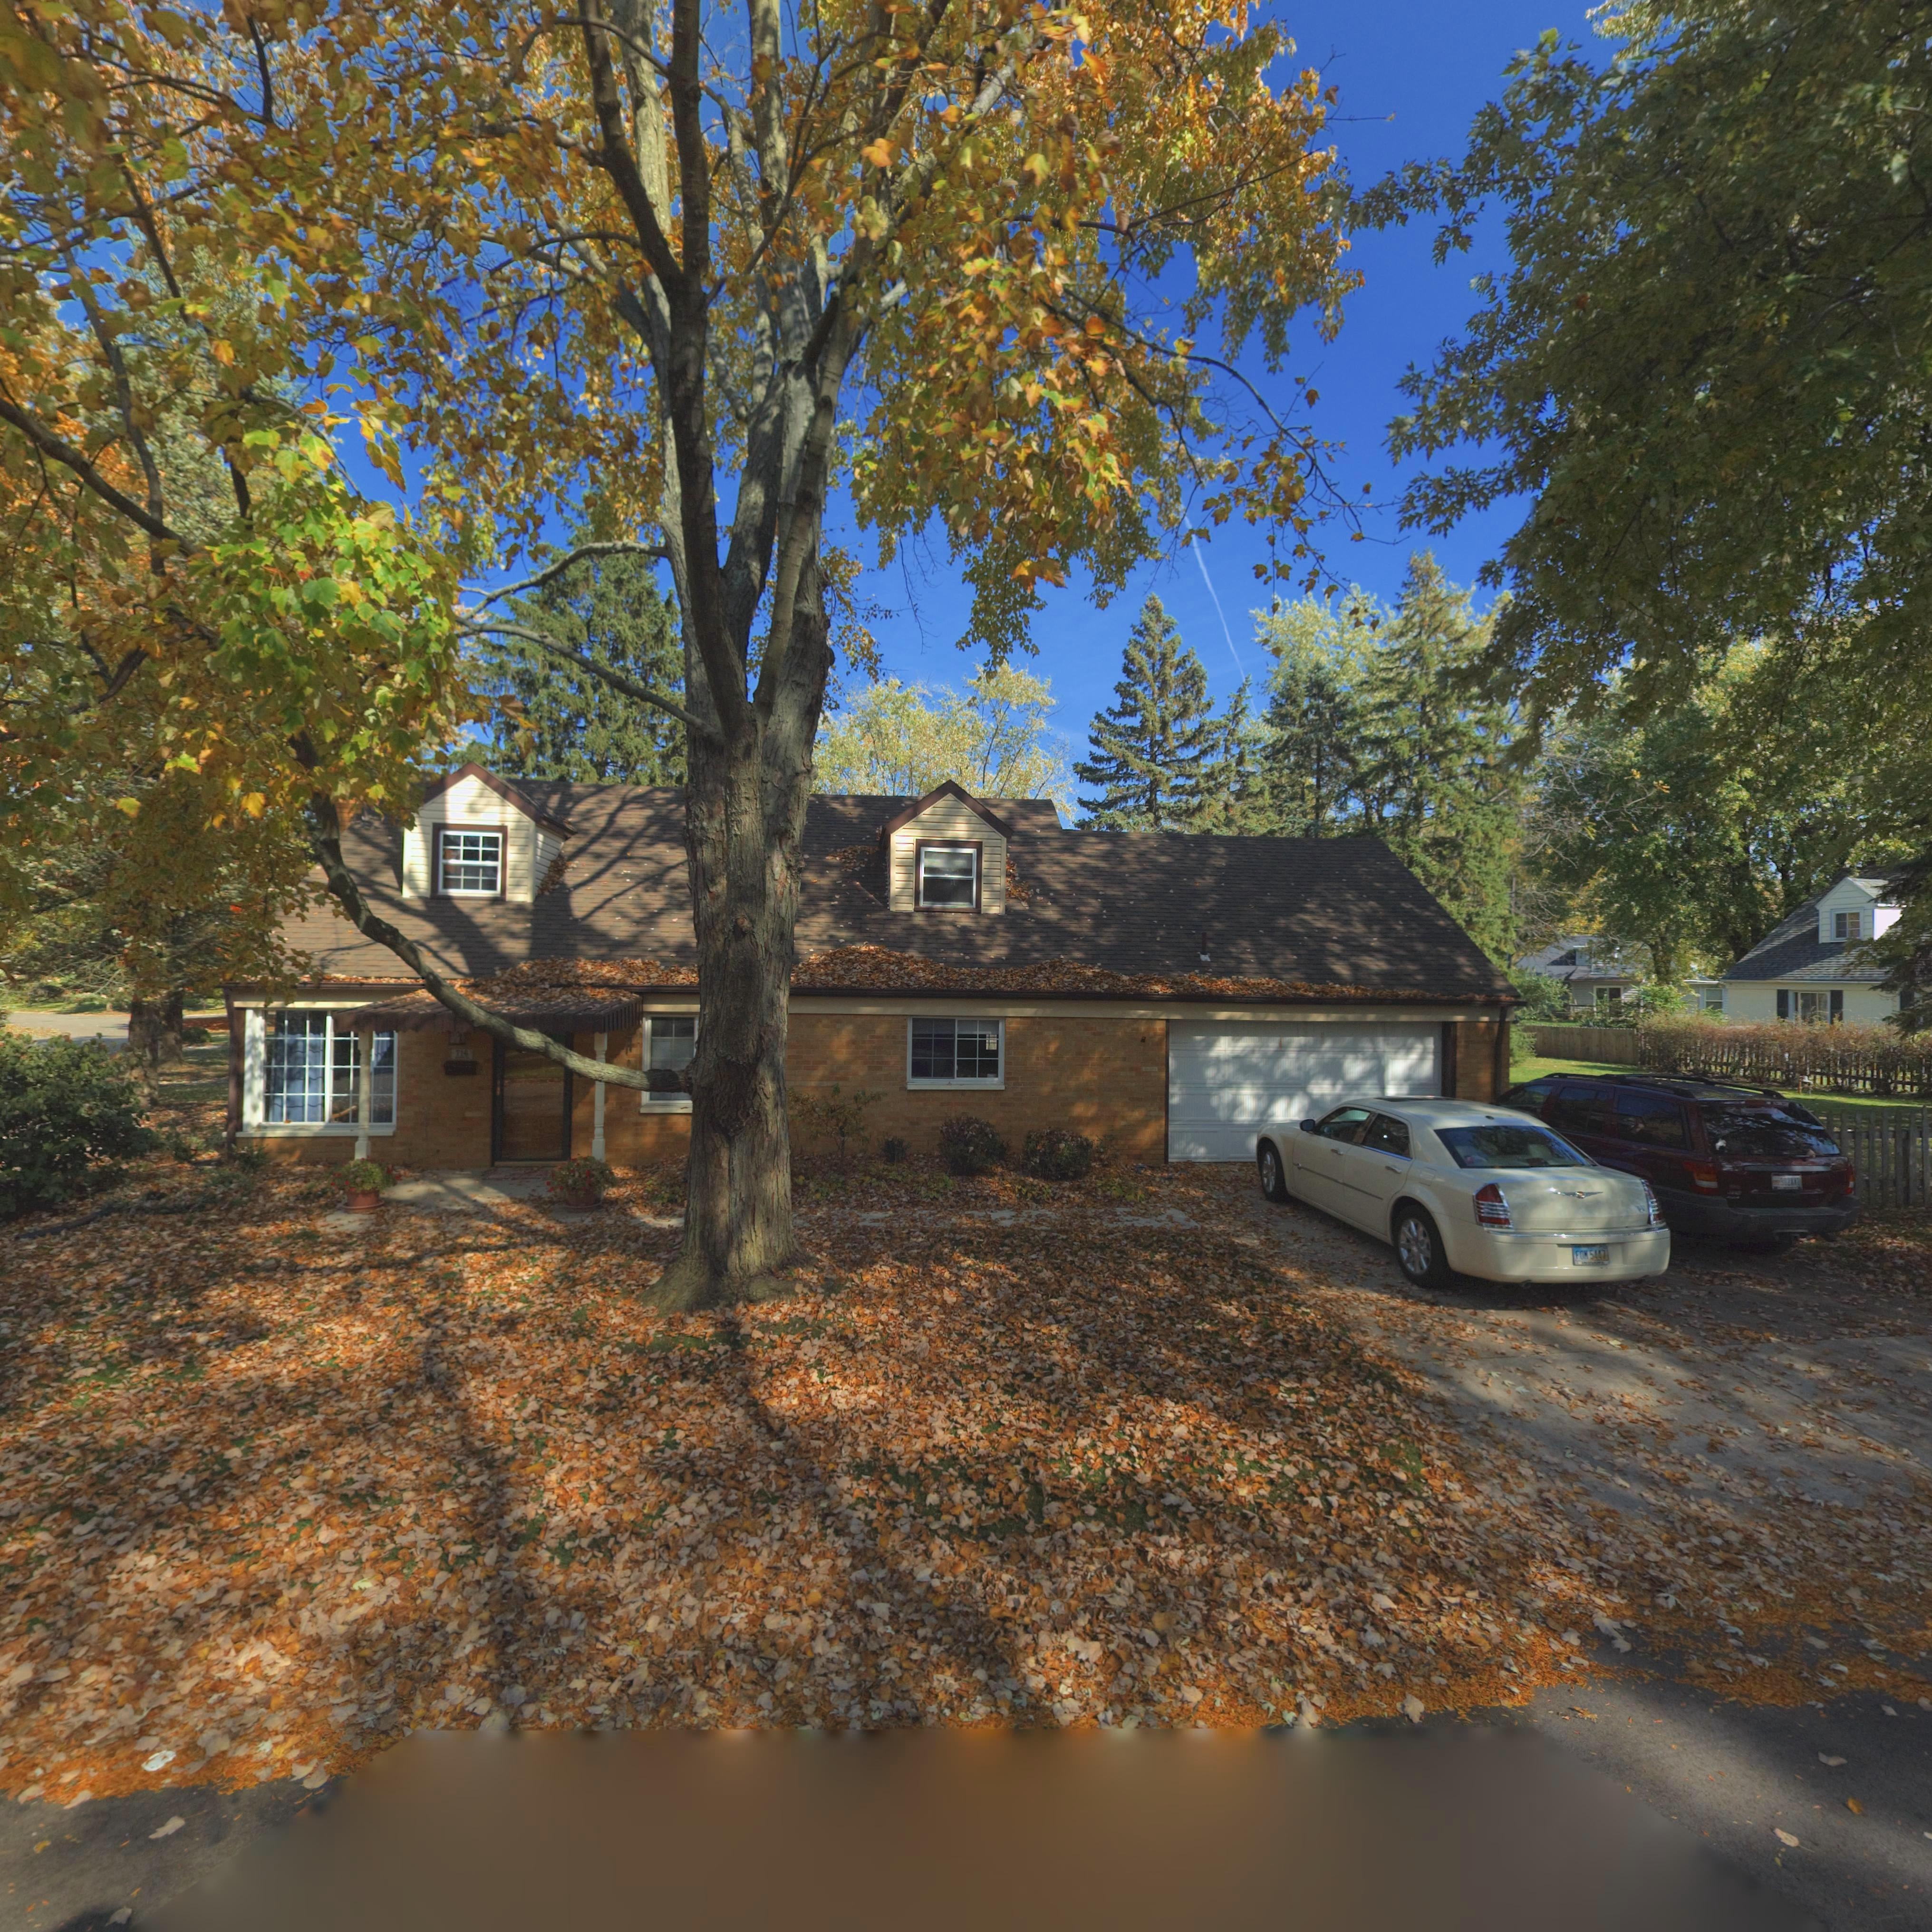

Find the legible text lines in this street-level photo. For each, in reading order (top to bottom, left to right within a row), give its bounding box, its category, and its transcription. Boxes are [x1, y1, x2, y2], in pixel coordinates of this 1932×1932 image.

[455, 1048, 469, 1057] StreetNumber: 71*
[1575, 1249, 1606, 1260] None: FO* 5447